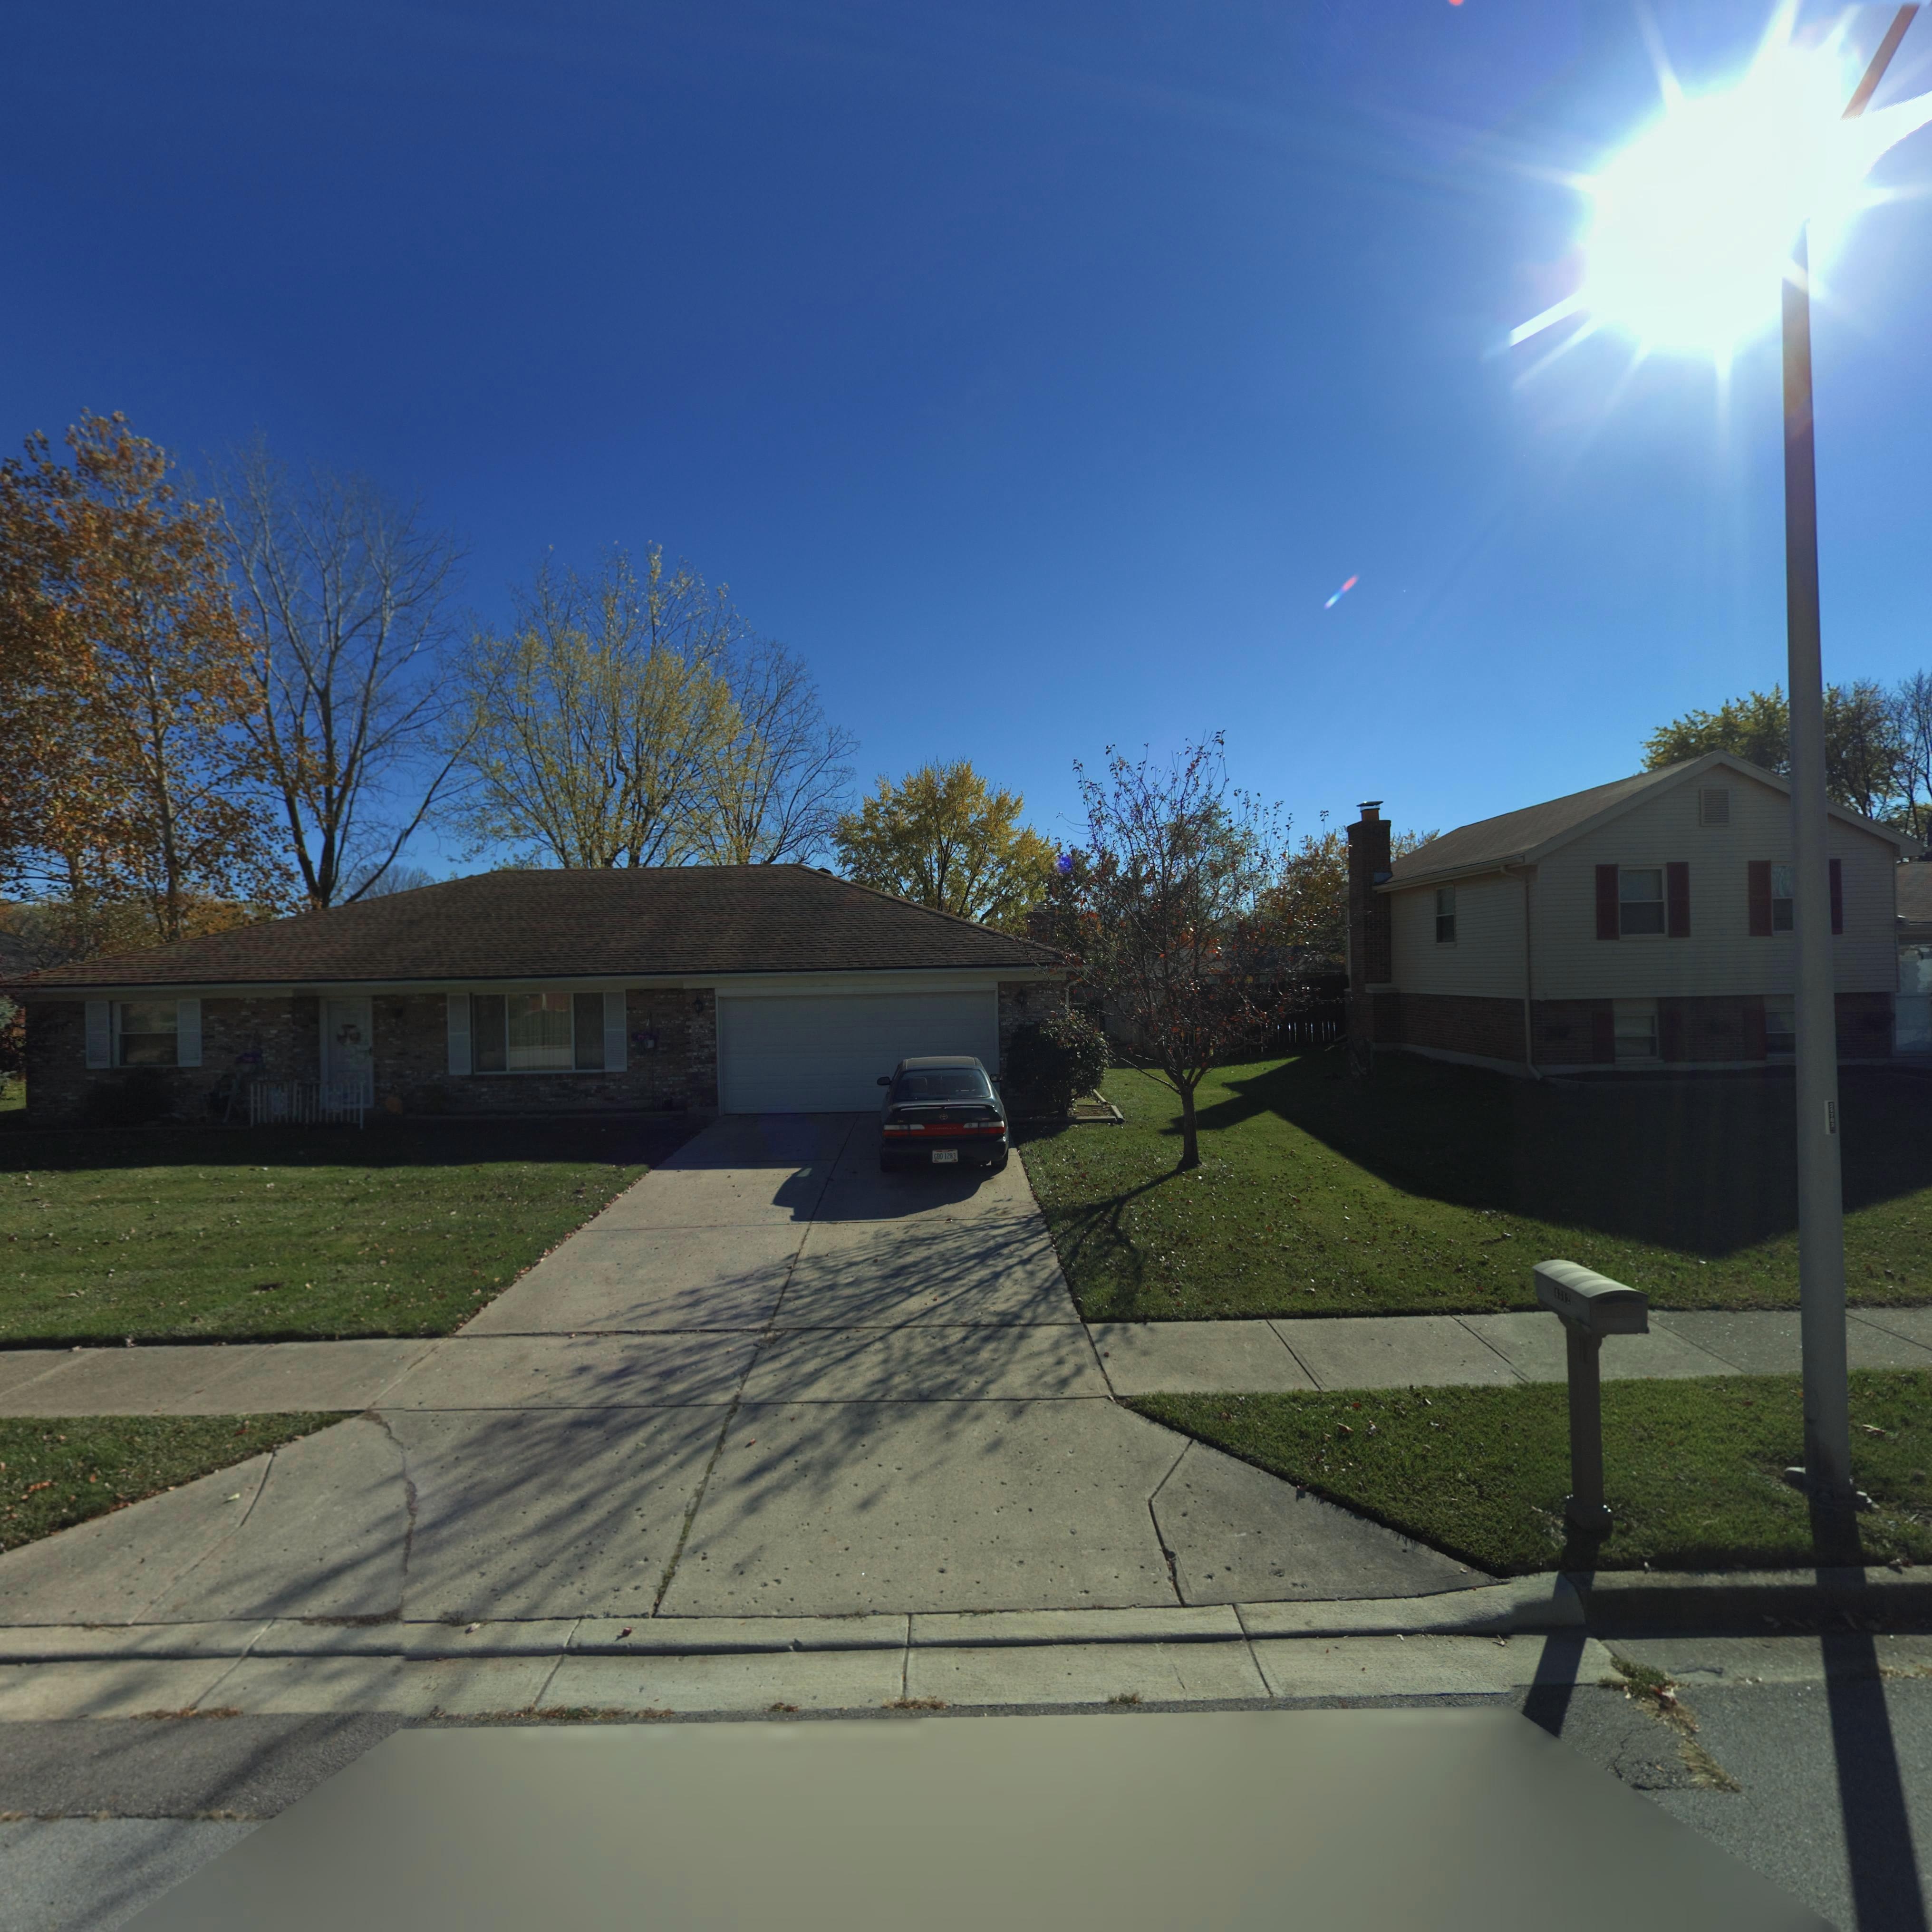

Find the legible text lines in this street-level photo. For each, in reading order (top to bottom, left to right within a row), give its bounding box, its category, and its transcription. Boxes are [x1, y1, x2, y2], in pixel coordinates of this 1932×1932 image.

[1554, 1287, 1571, 1305] StreetNumber: 4312